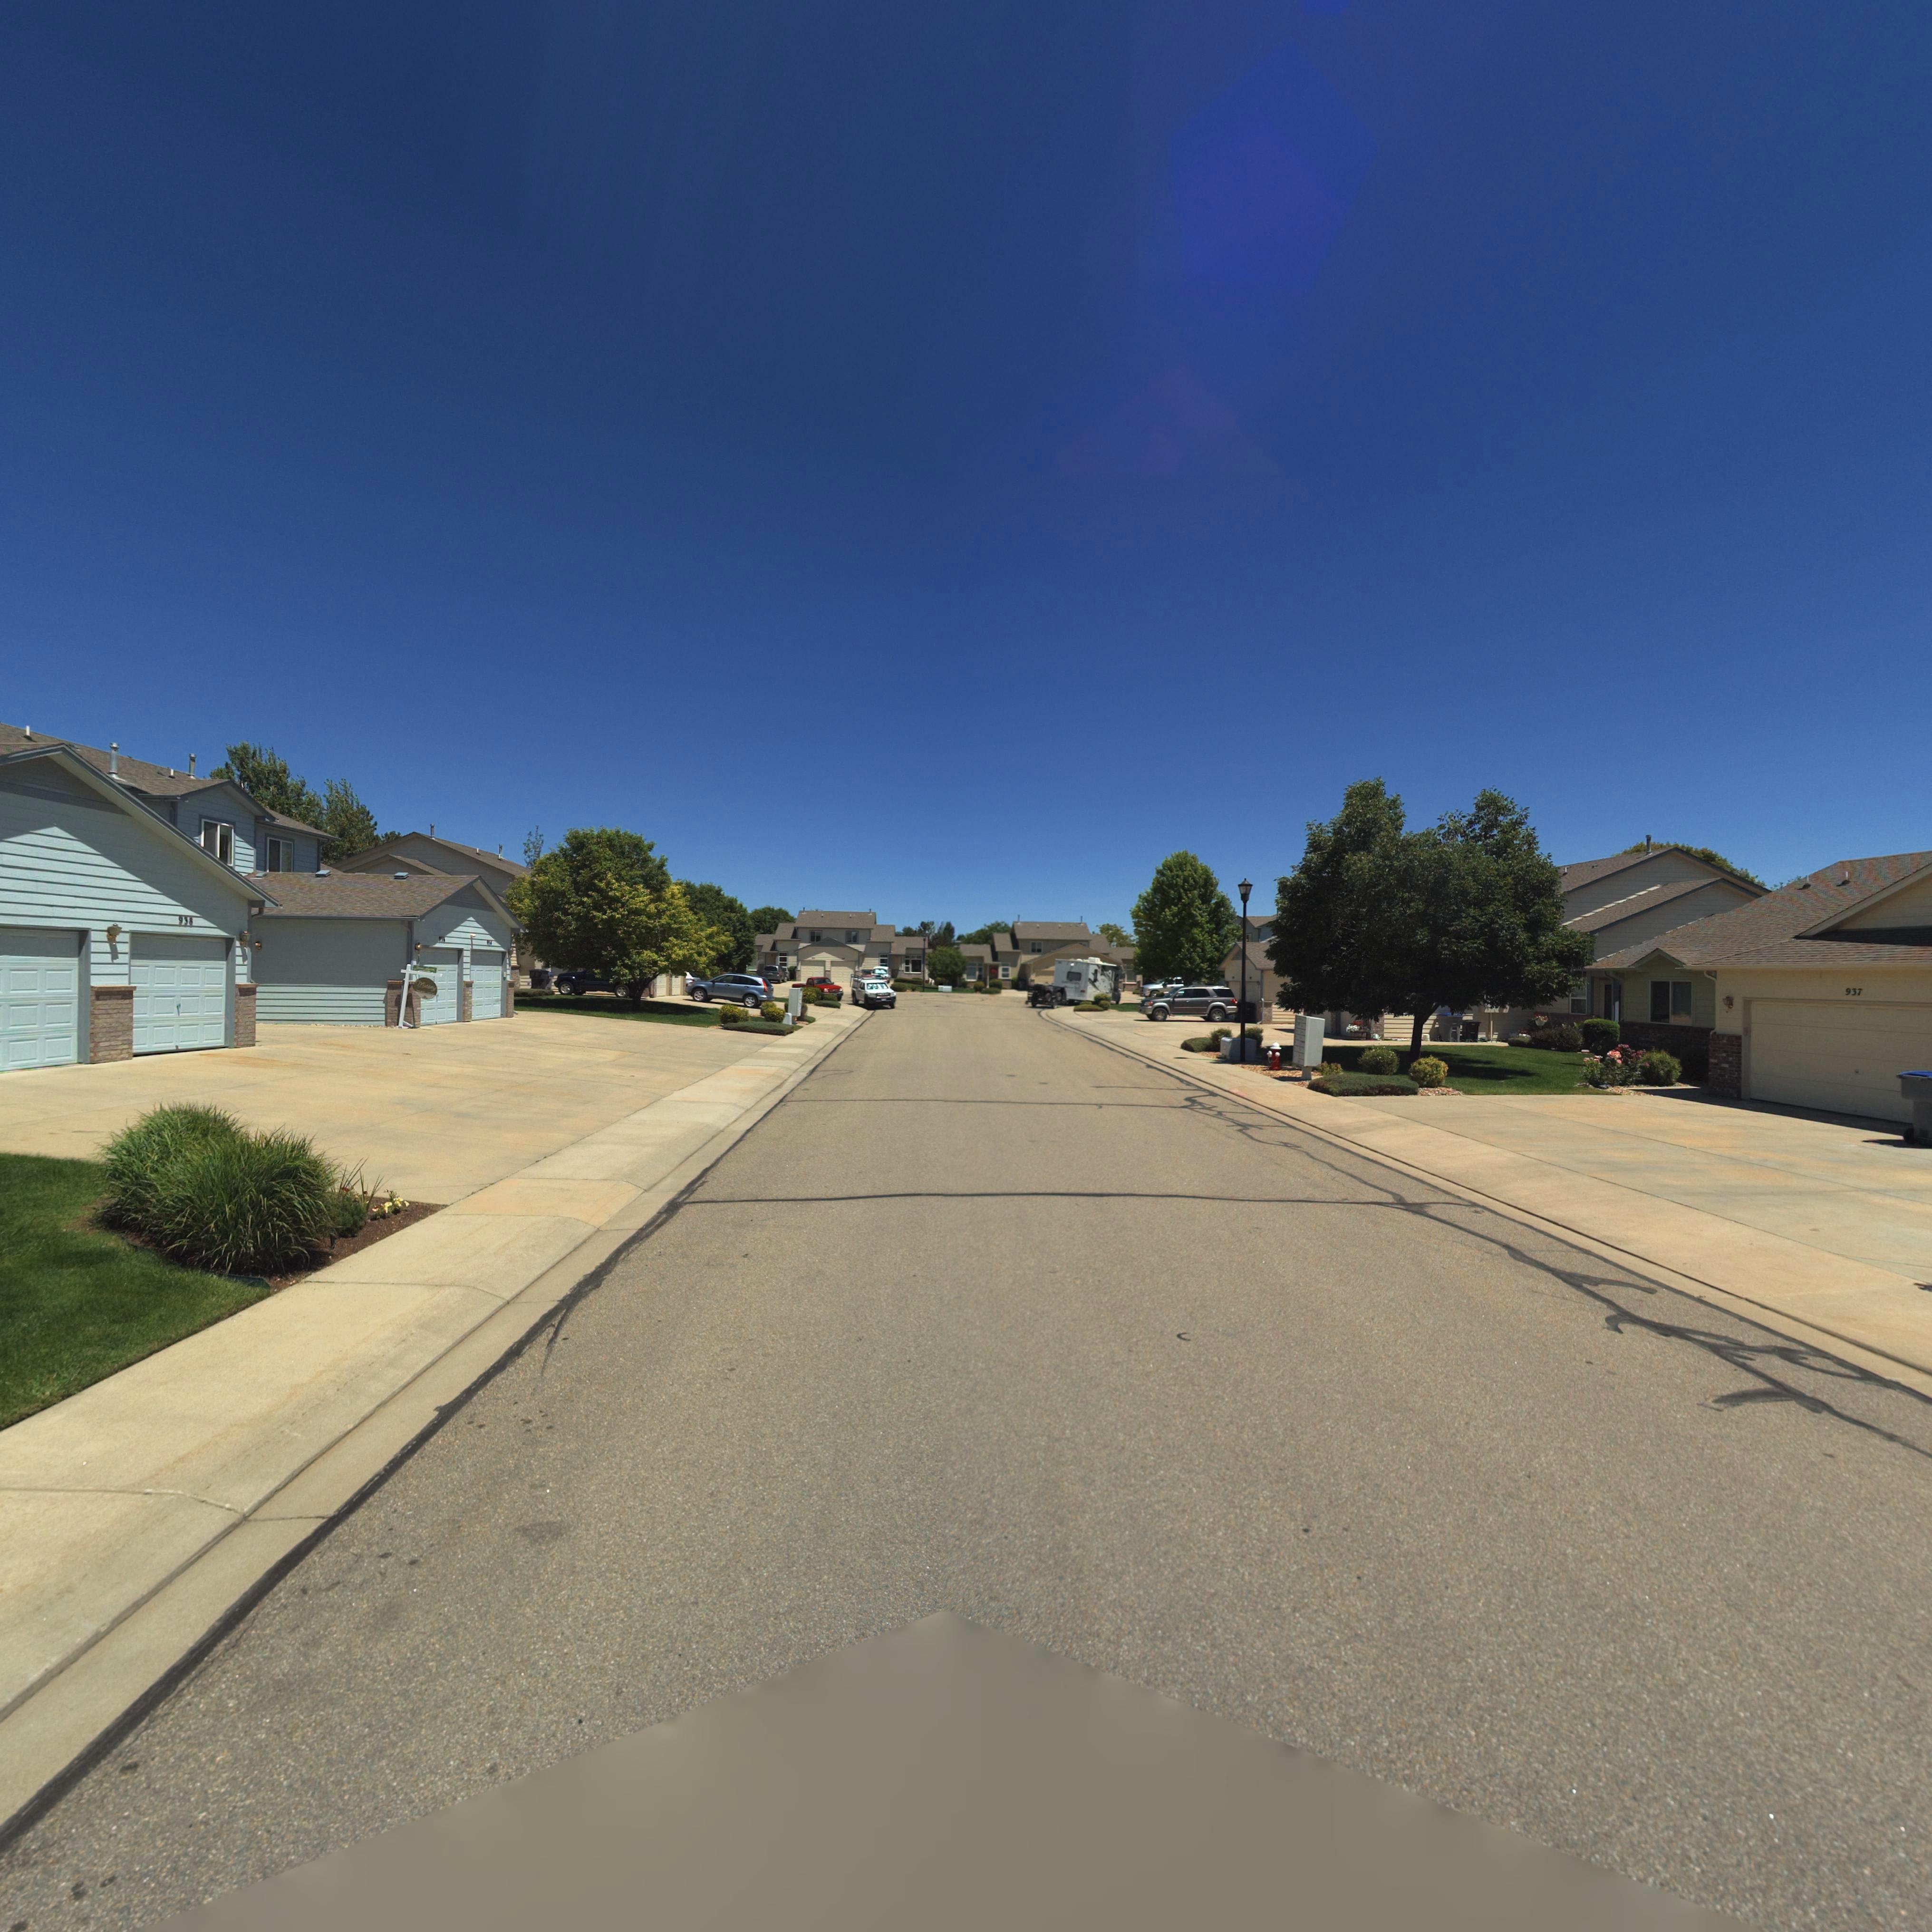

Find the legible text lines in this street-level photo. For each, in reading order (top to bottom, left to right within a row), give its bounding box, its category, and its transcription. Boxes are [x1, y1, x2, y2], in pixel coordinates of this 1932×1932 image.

[178, 915, 193, 925] StreetNumber: 938
[438, 936, 445, 942] StreetNumber: 956
[1845, 987, 1864, 996] StreetNumber: 937